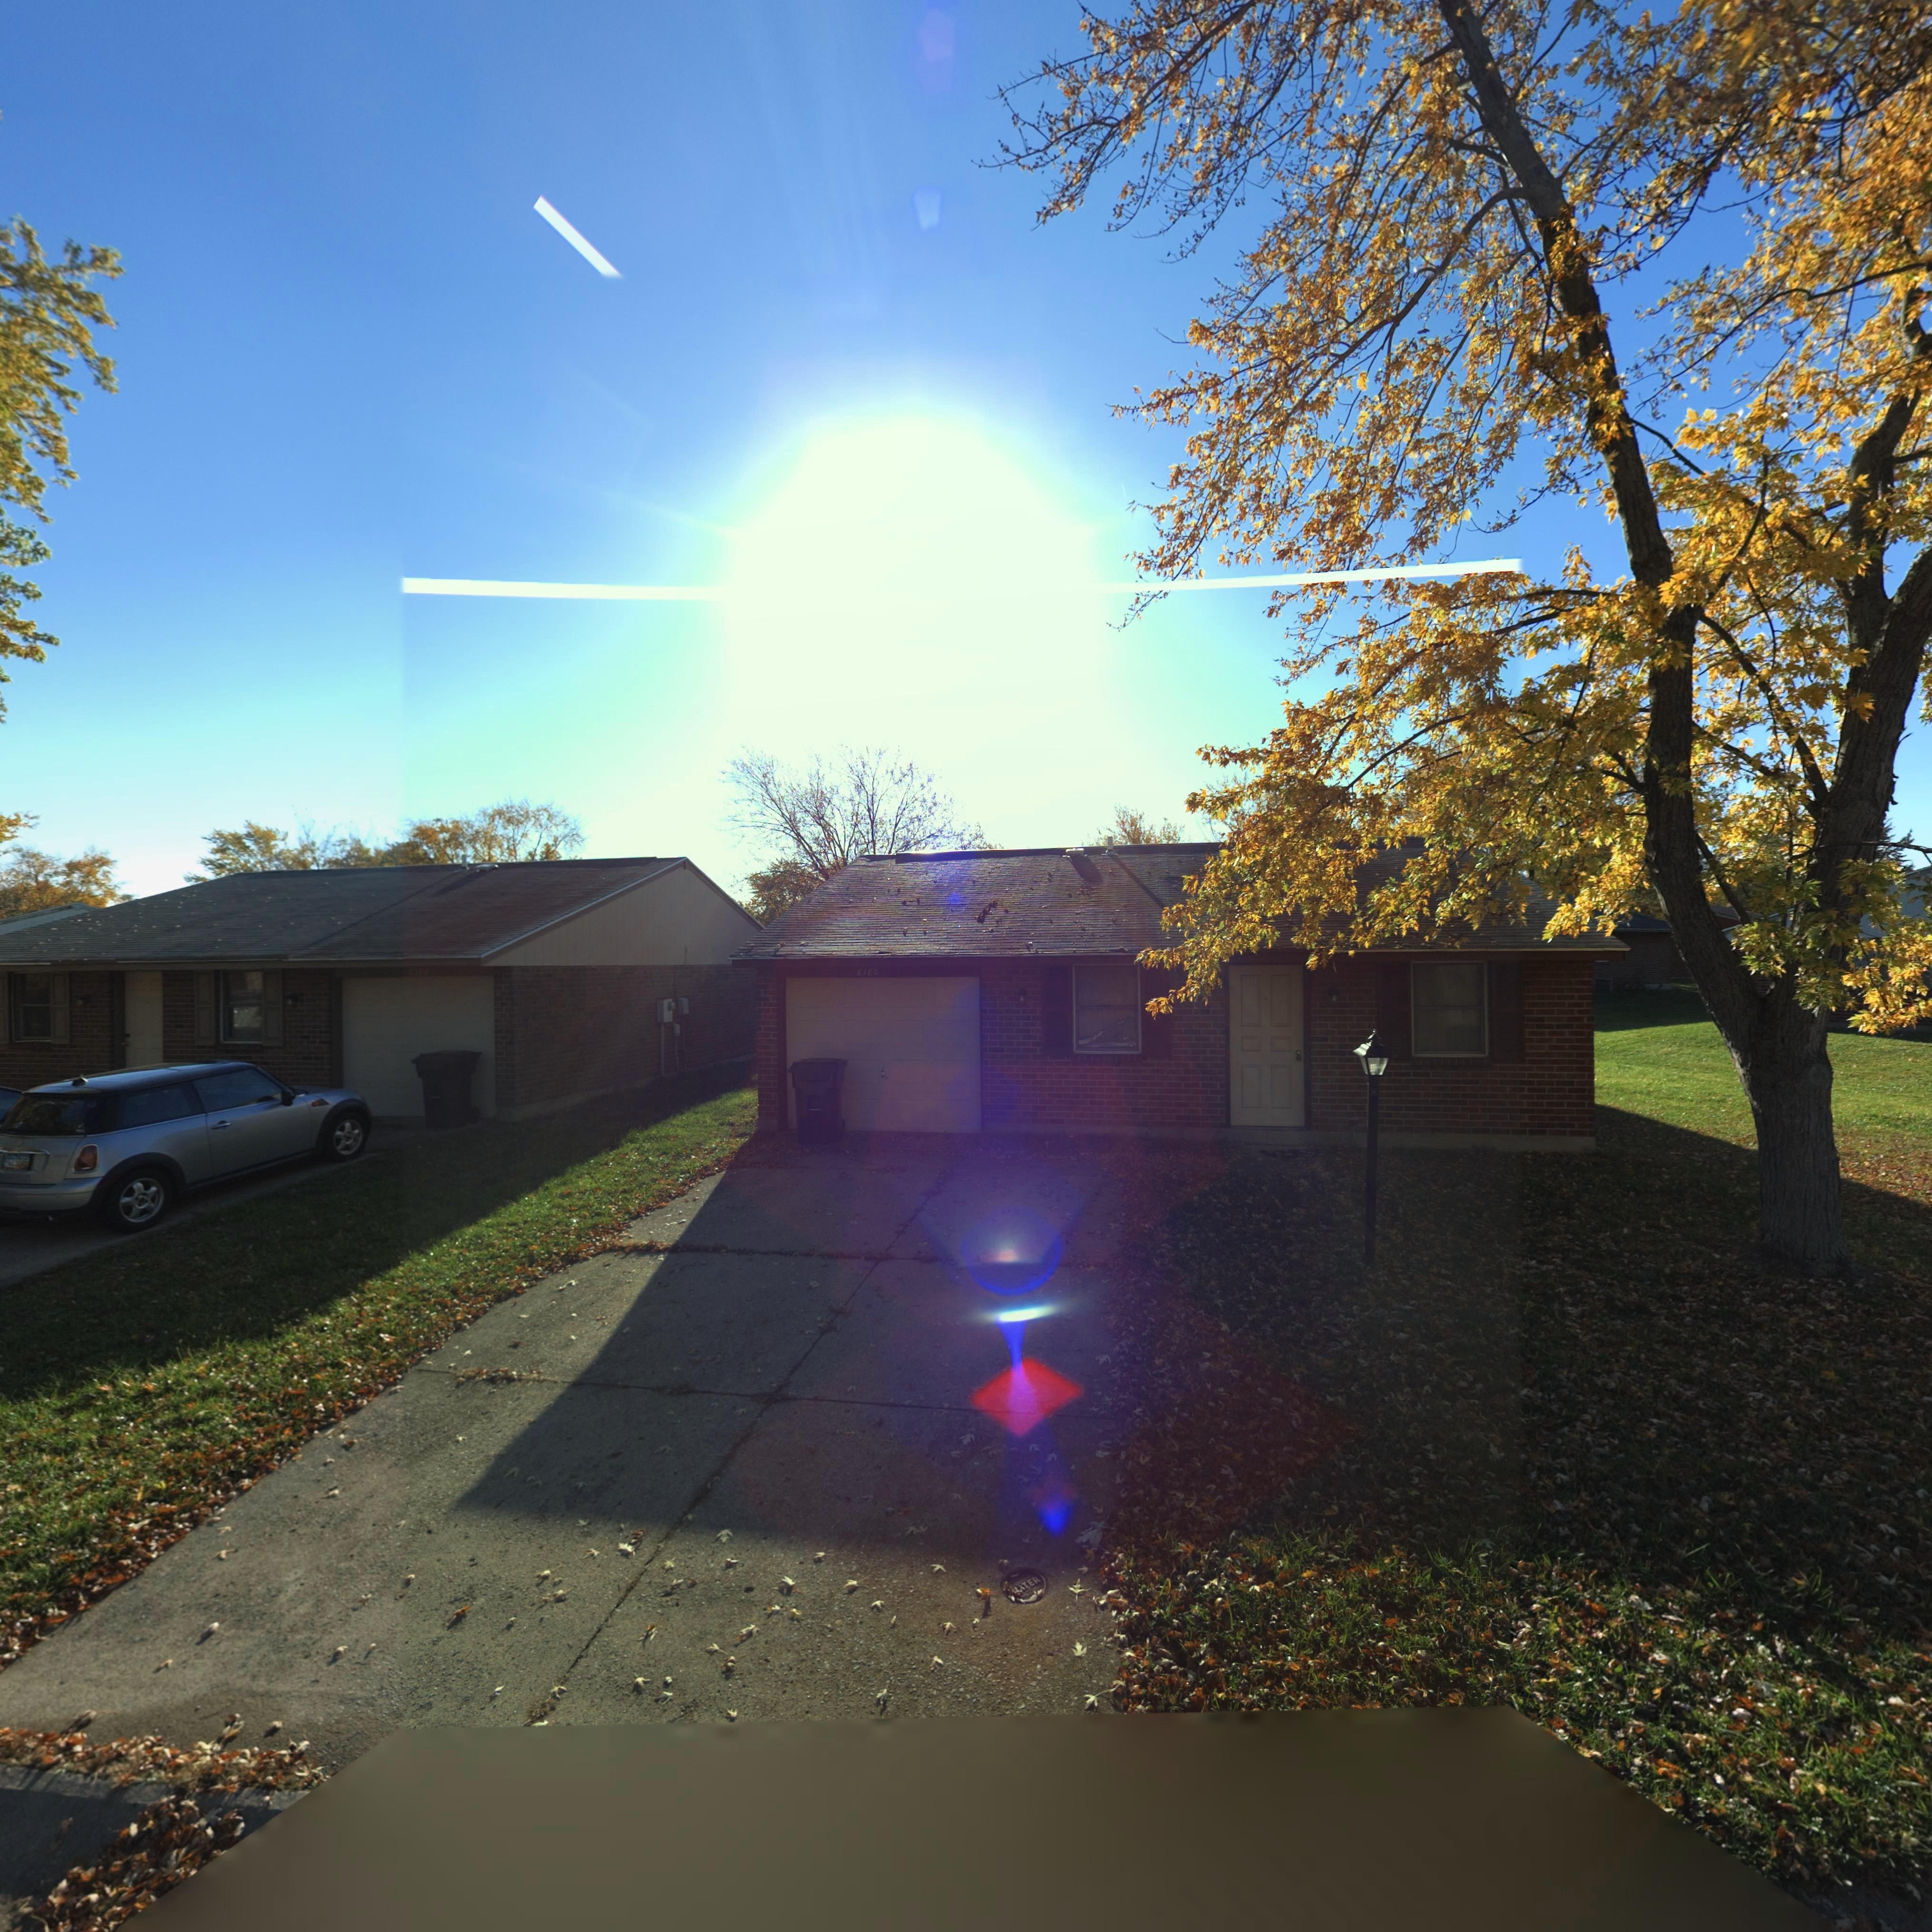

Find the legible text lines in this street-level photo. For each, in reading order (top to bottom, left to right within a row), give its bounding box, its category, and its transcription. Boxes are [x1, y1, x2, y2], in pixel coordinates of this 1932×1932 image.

[414, 967, 417, 976] StreetNumber: 1
[857, 968, 878, 976] StreetNumber: 8180